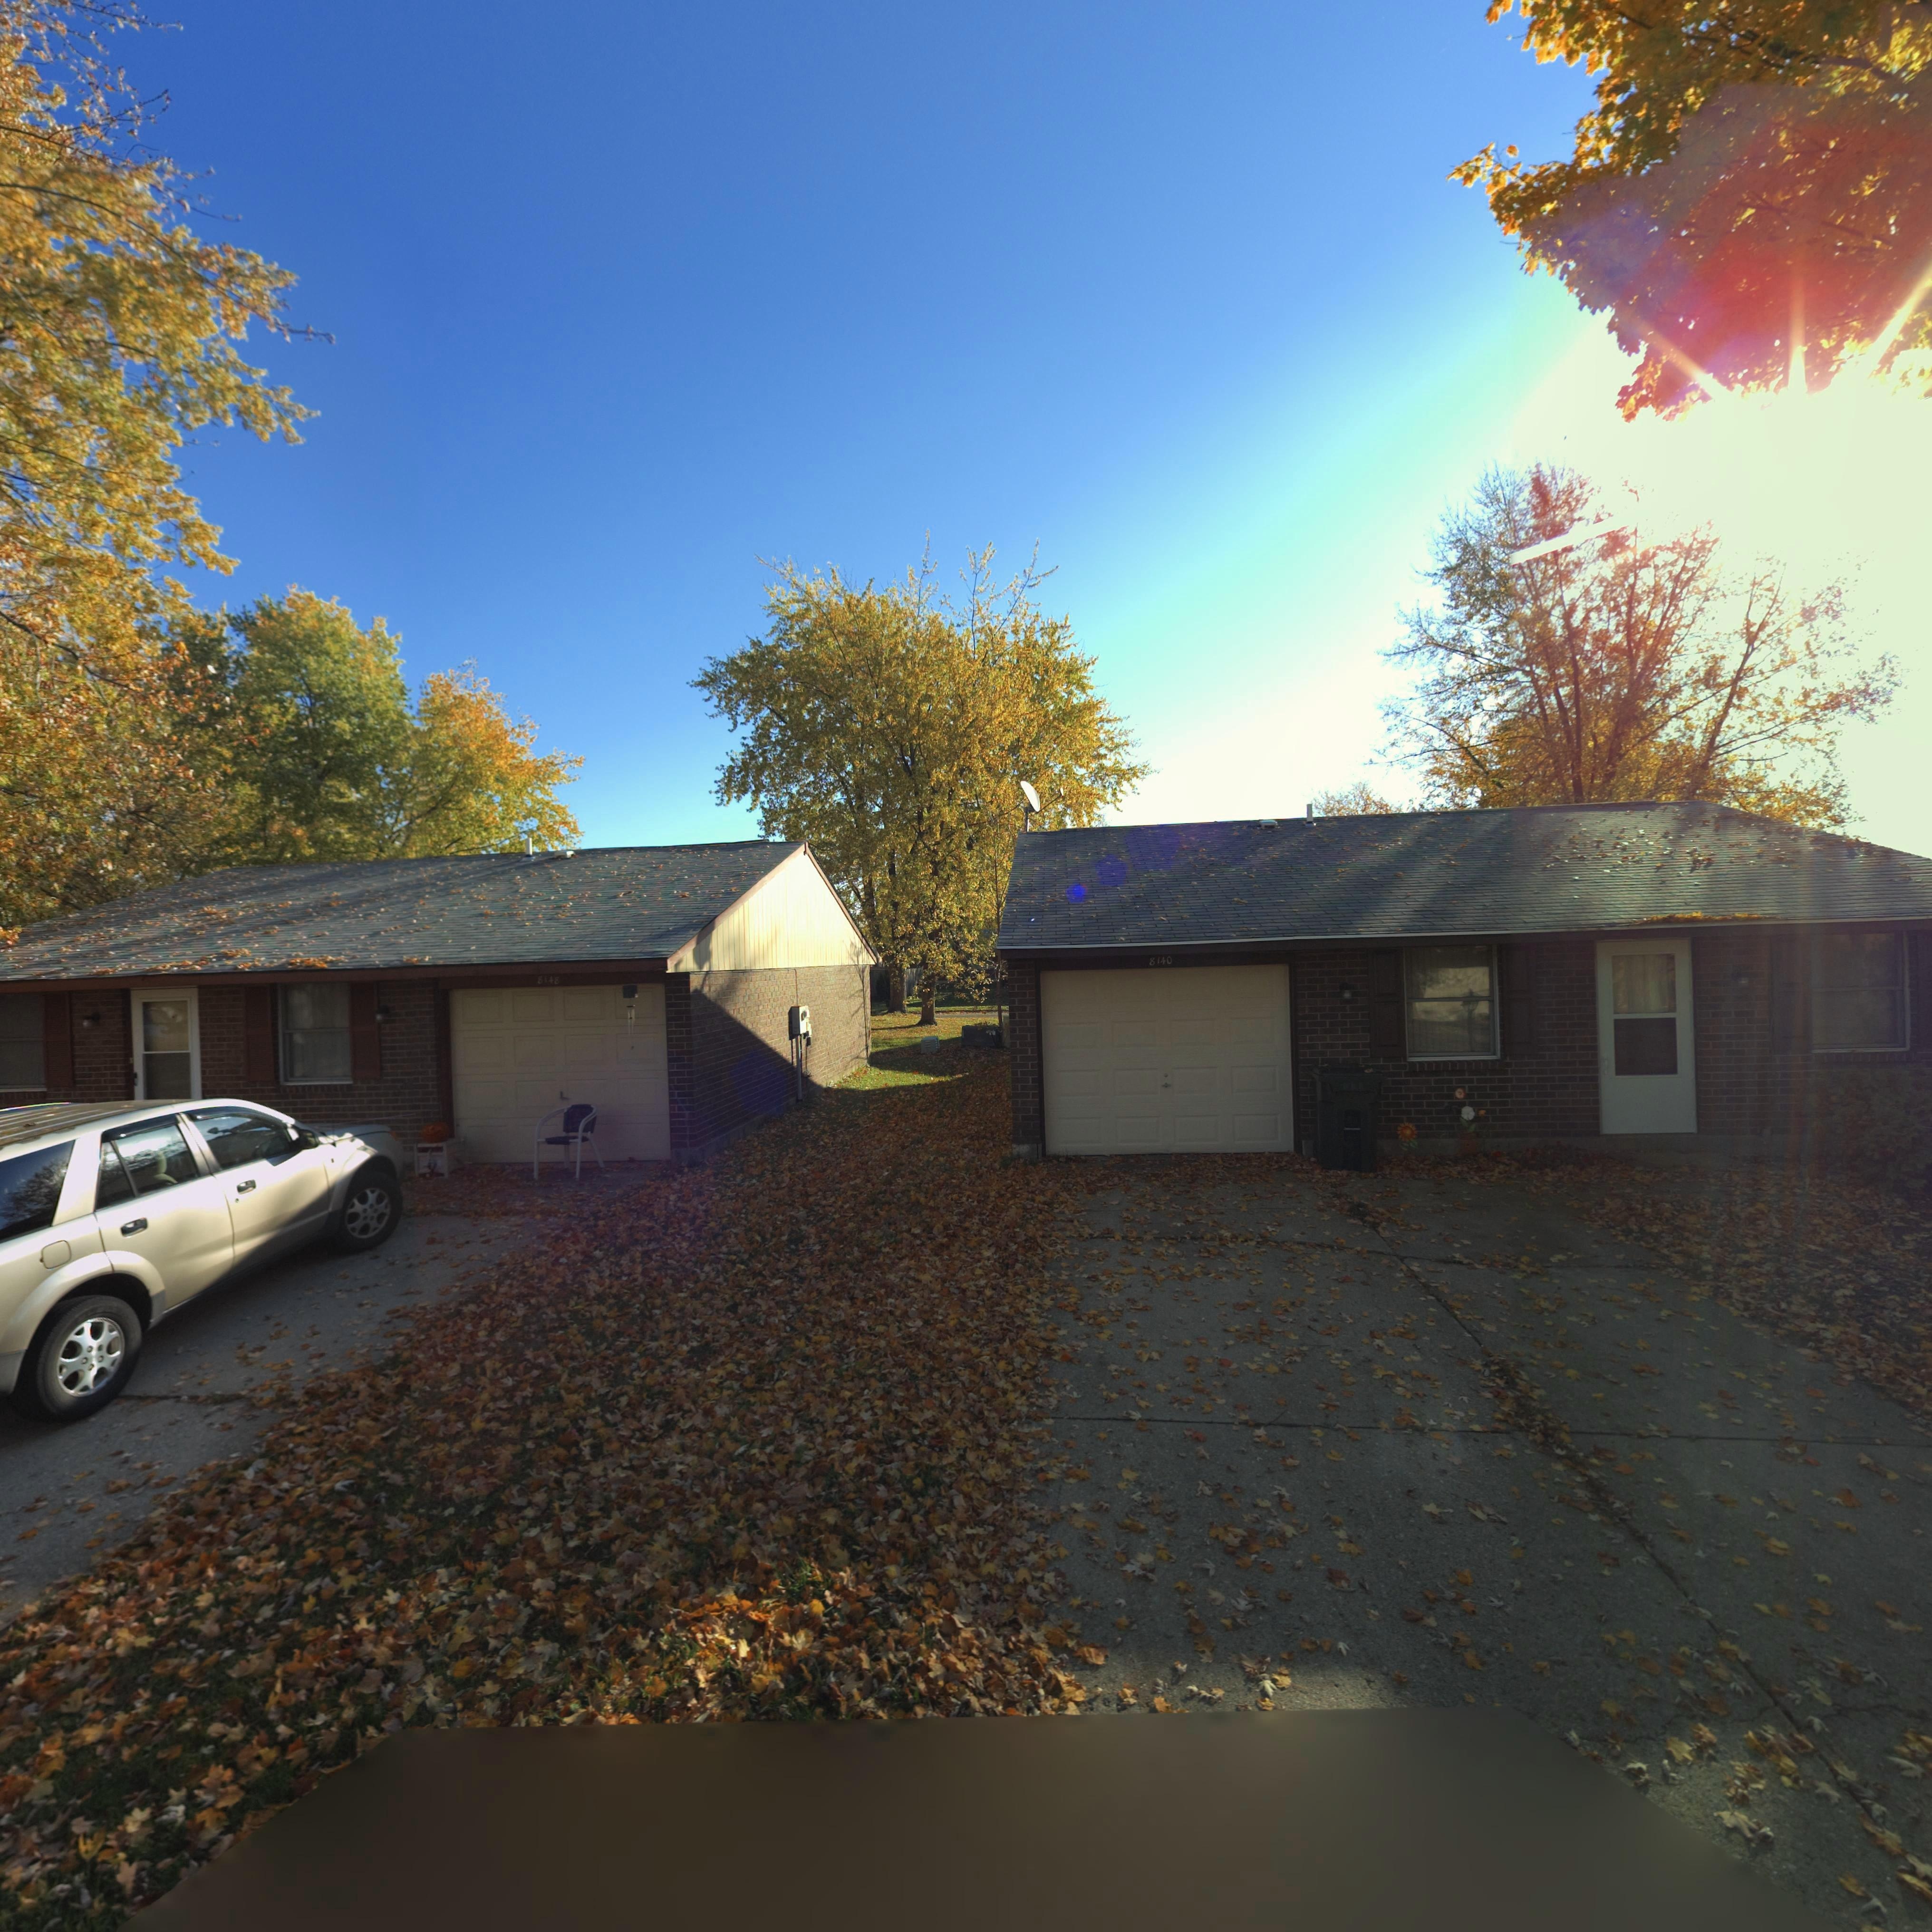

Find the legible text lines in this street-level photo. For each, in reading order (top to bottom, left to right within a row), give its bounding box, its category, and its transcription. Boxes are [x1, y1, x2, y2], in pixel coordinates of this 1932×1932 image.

[1148, 954, 1173, 966] StreetNumber: 8140
[536, 975, 560, 985] StreetNumber: 8148